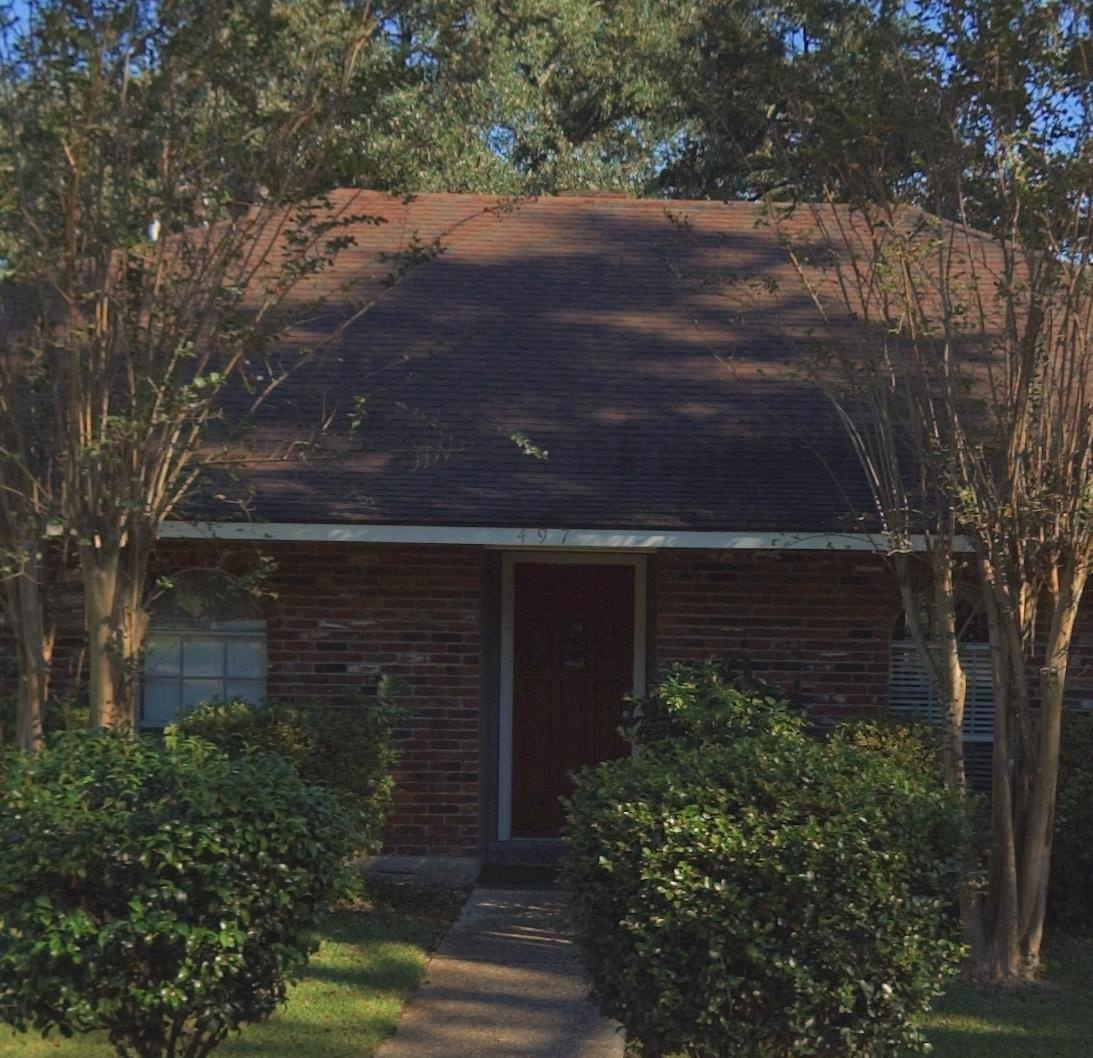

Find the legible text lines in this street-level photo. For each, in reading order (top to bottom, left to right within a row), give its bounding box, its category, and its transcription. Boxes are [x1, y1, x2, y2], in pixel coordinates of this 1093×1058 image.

[515, 527, 572, 546] StreetNumber: 497